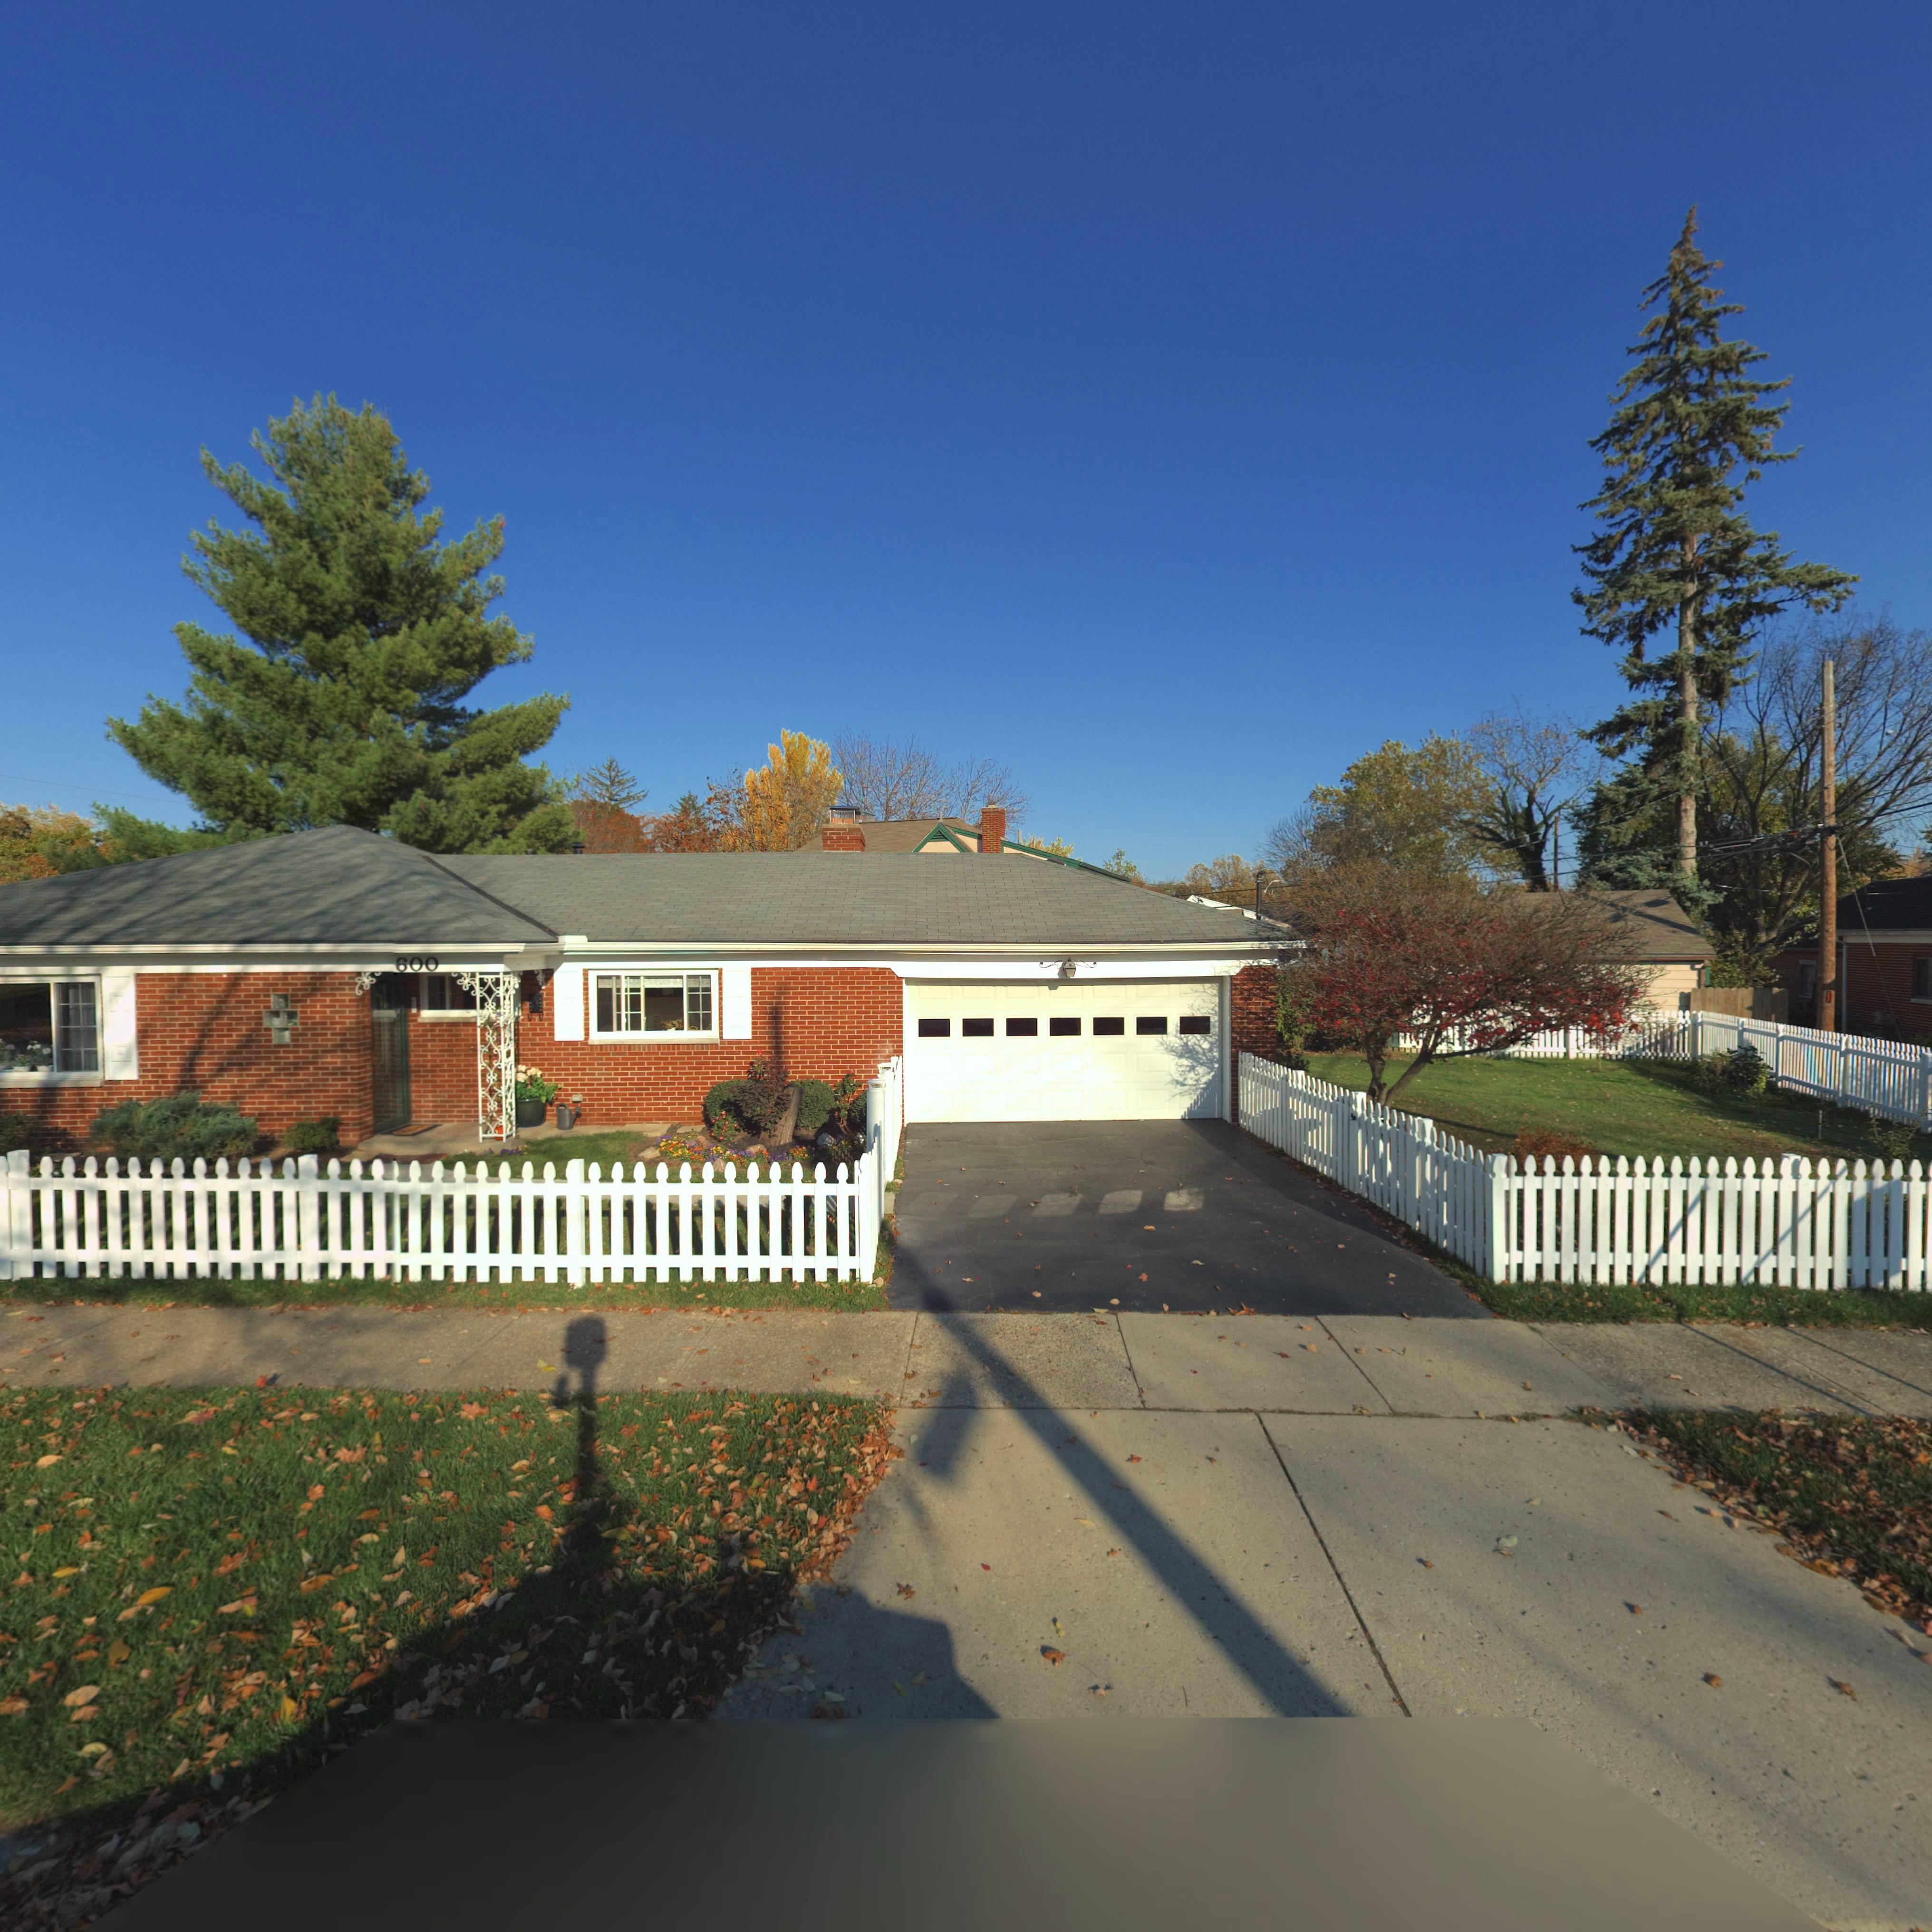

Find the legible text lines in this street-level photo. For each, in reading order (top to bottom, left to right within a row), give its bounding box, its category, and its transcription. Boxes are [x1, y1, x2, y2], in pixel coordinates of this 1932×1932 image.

[395, 956, 440, 972] StreetNumber: 600